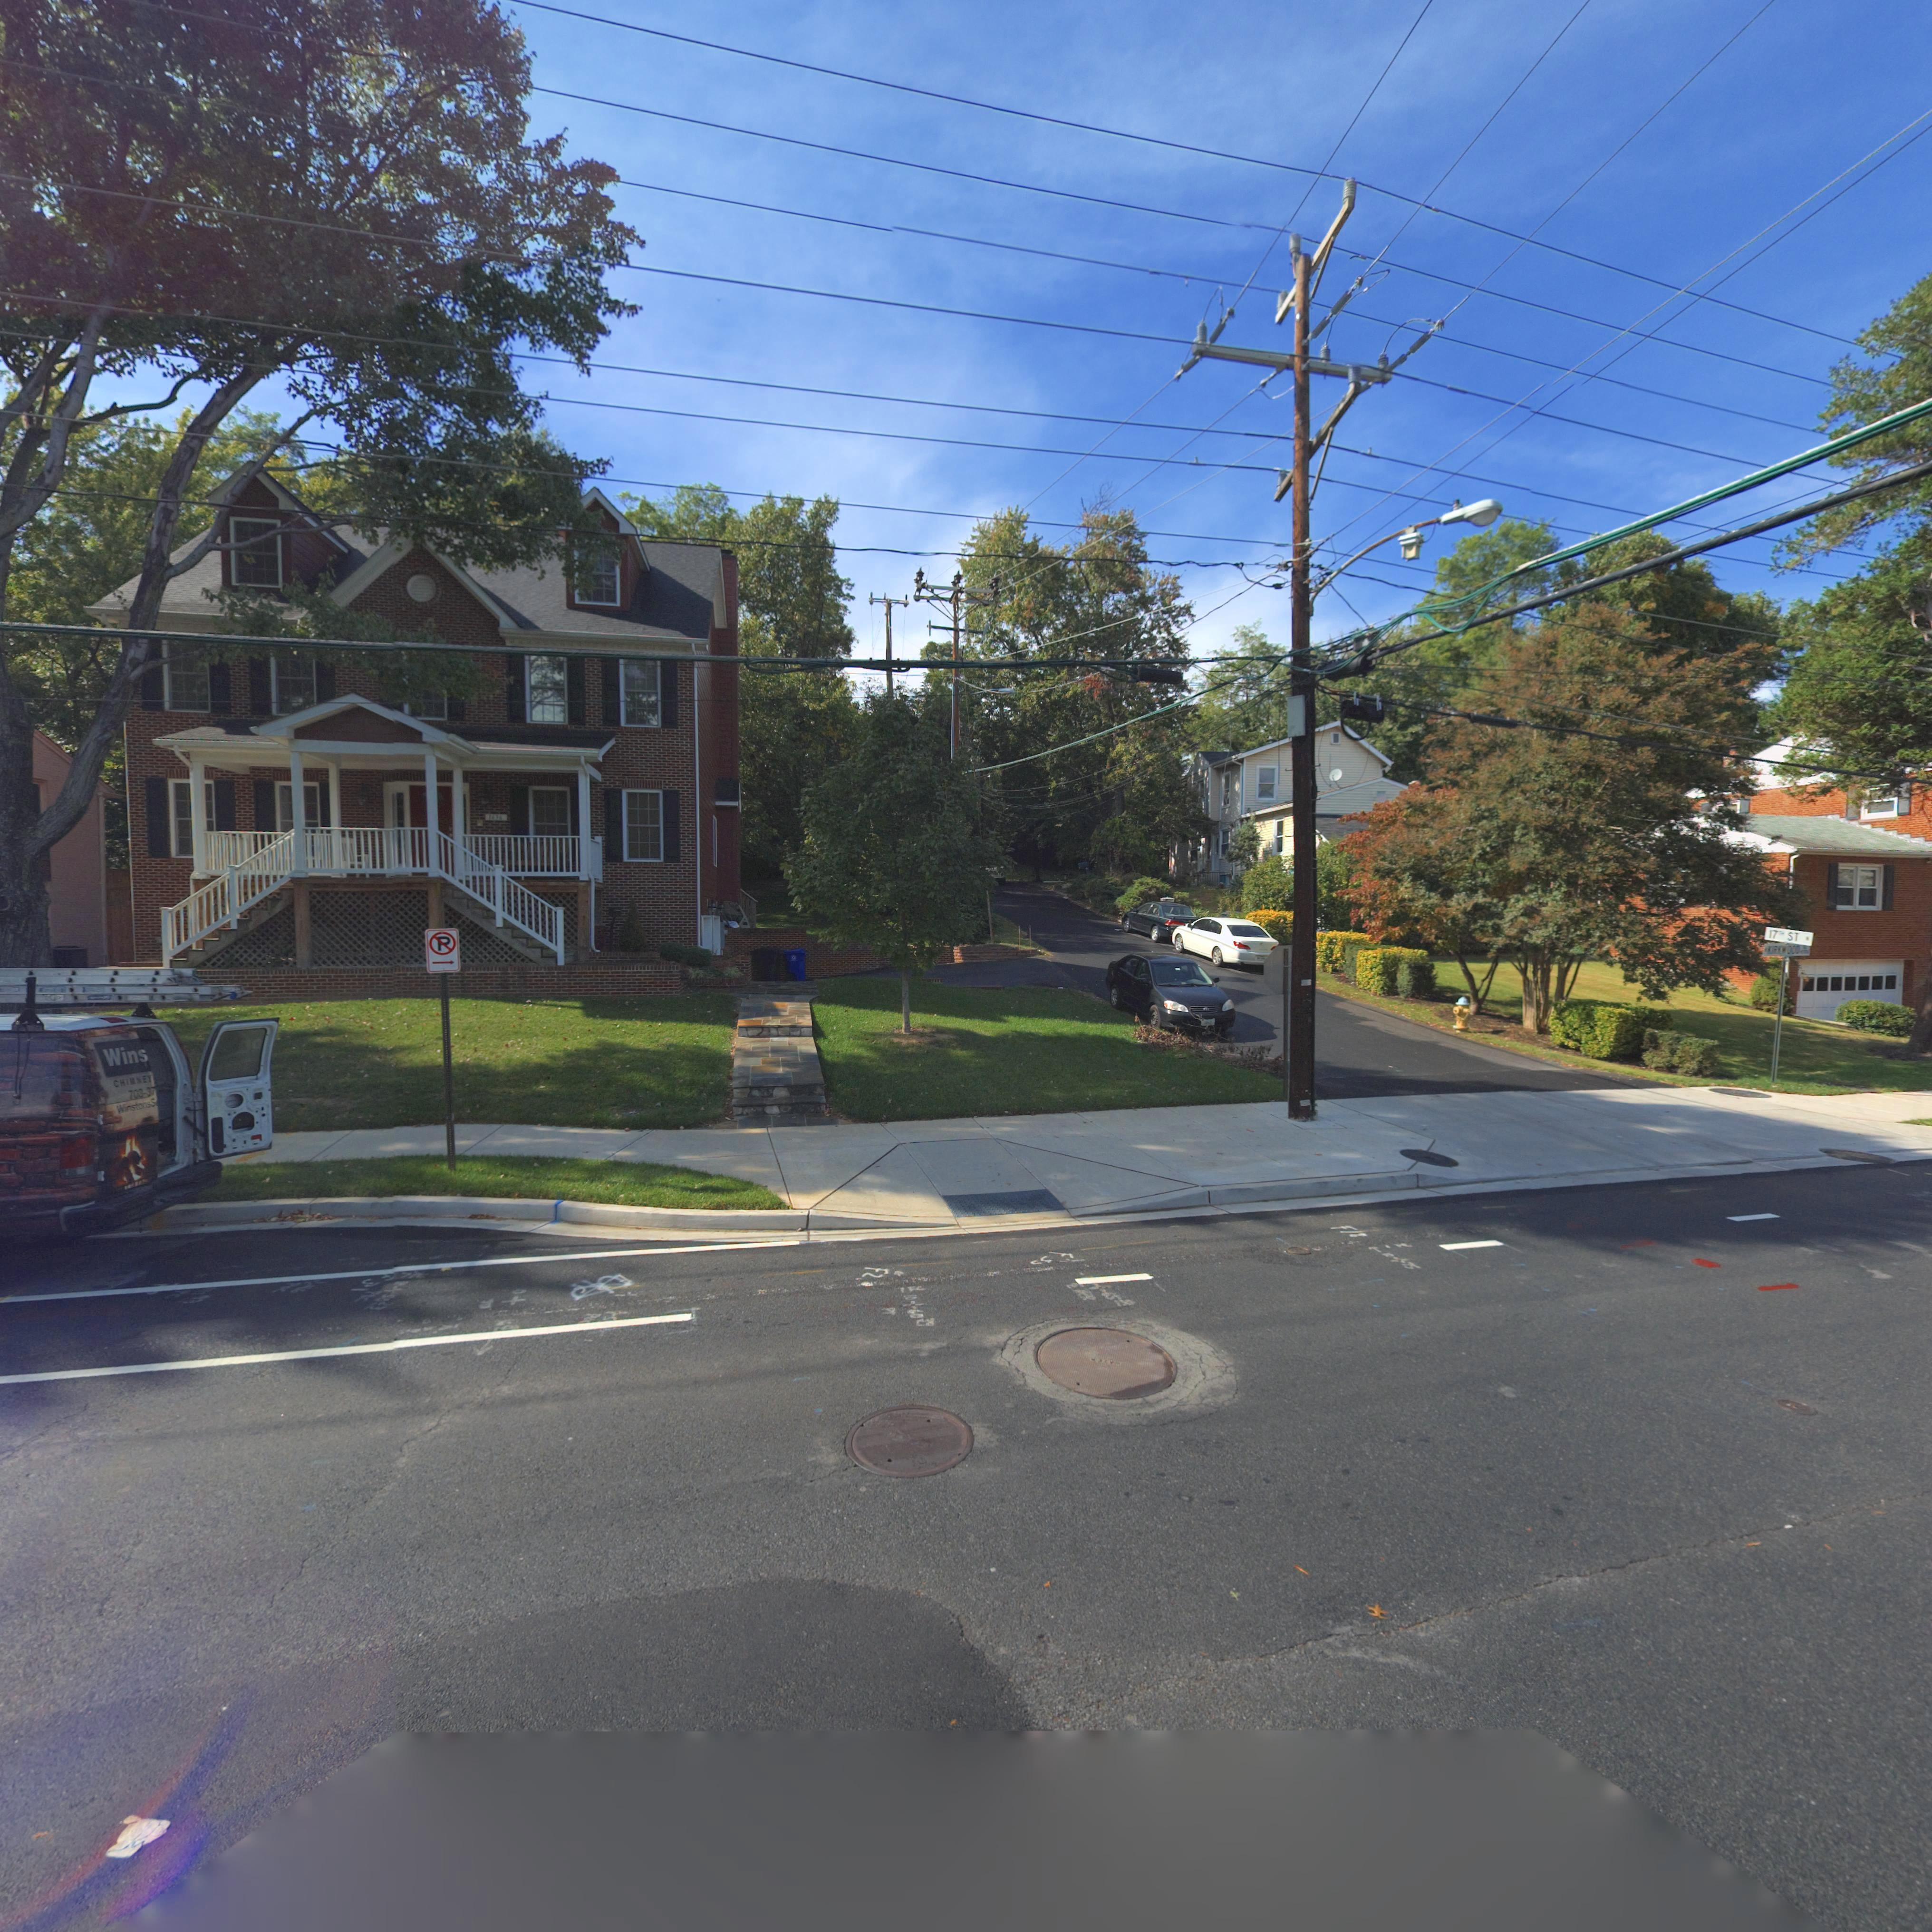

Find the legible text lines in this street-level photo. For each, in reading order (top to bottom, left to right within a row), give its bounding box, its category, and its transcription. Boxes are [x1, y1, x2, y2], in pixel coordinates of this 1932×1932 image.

[487, 813, 504, 821] StreetNumber: 16*6
[1767, 927, 1801, 944] StreetName: 17TH ST
[1766, 944, 1802, 956] StreetName: KIRKWOOD
[100, 1045, 149, 1068] None: Wins
[112, 1072, 154, 1089] None: CHIMNEY
[126, 1084, 157, 1102] None: 703-37
[114, 1096, 157, 1116] None: WinstonsS